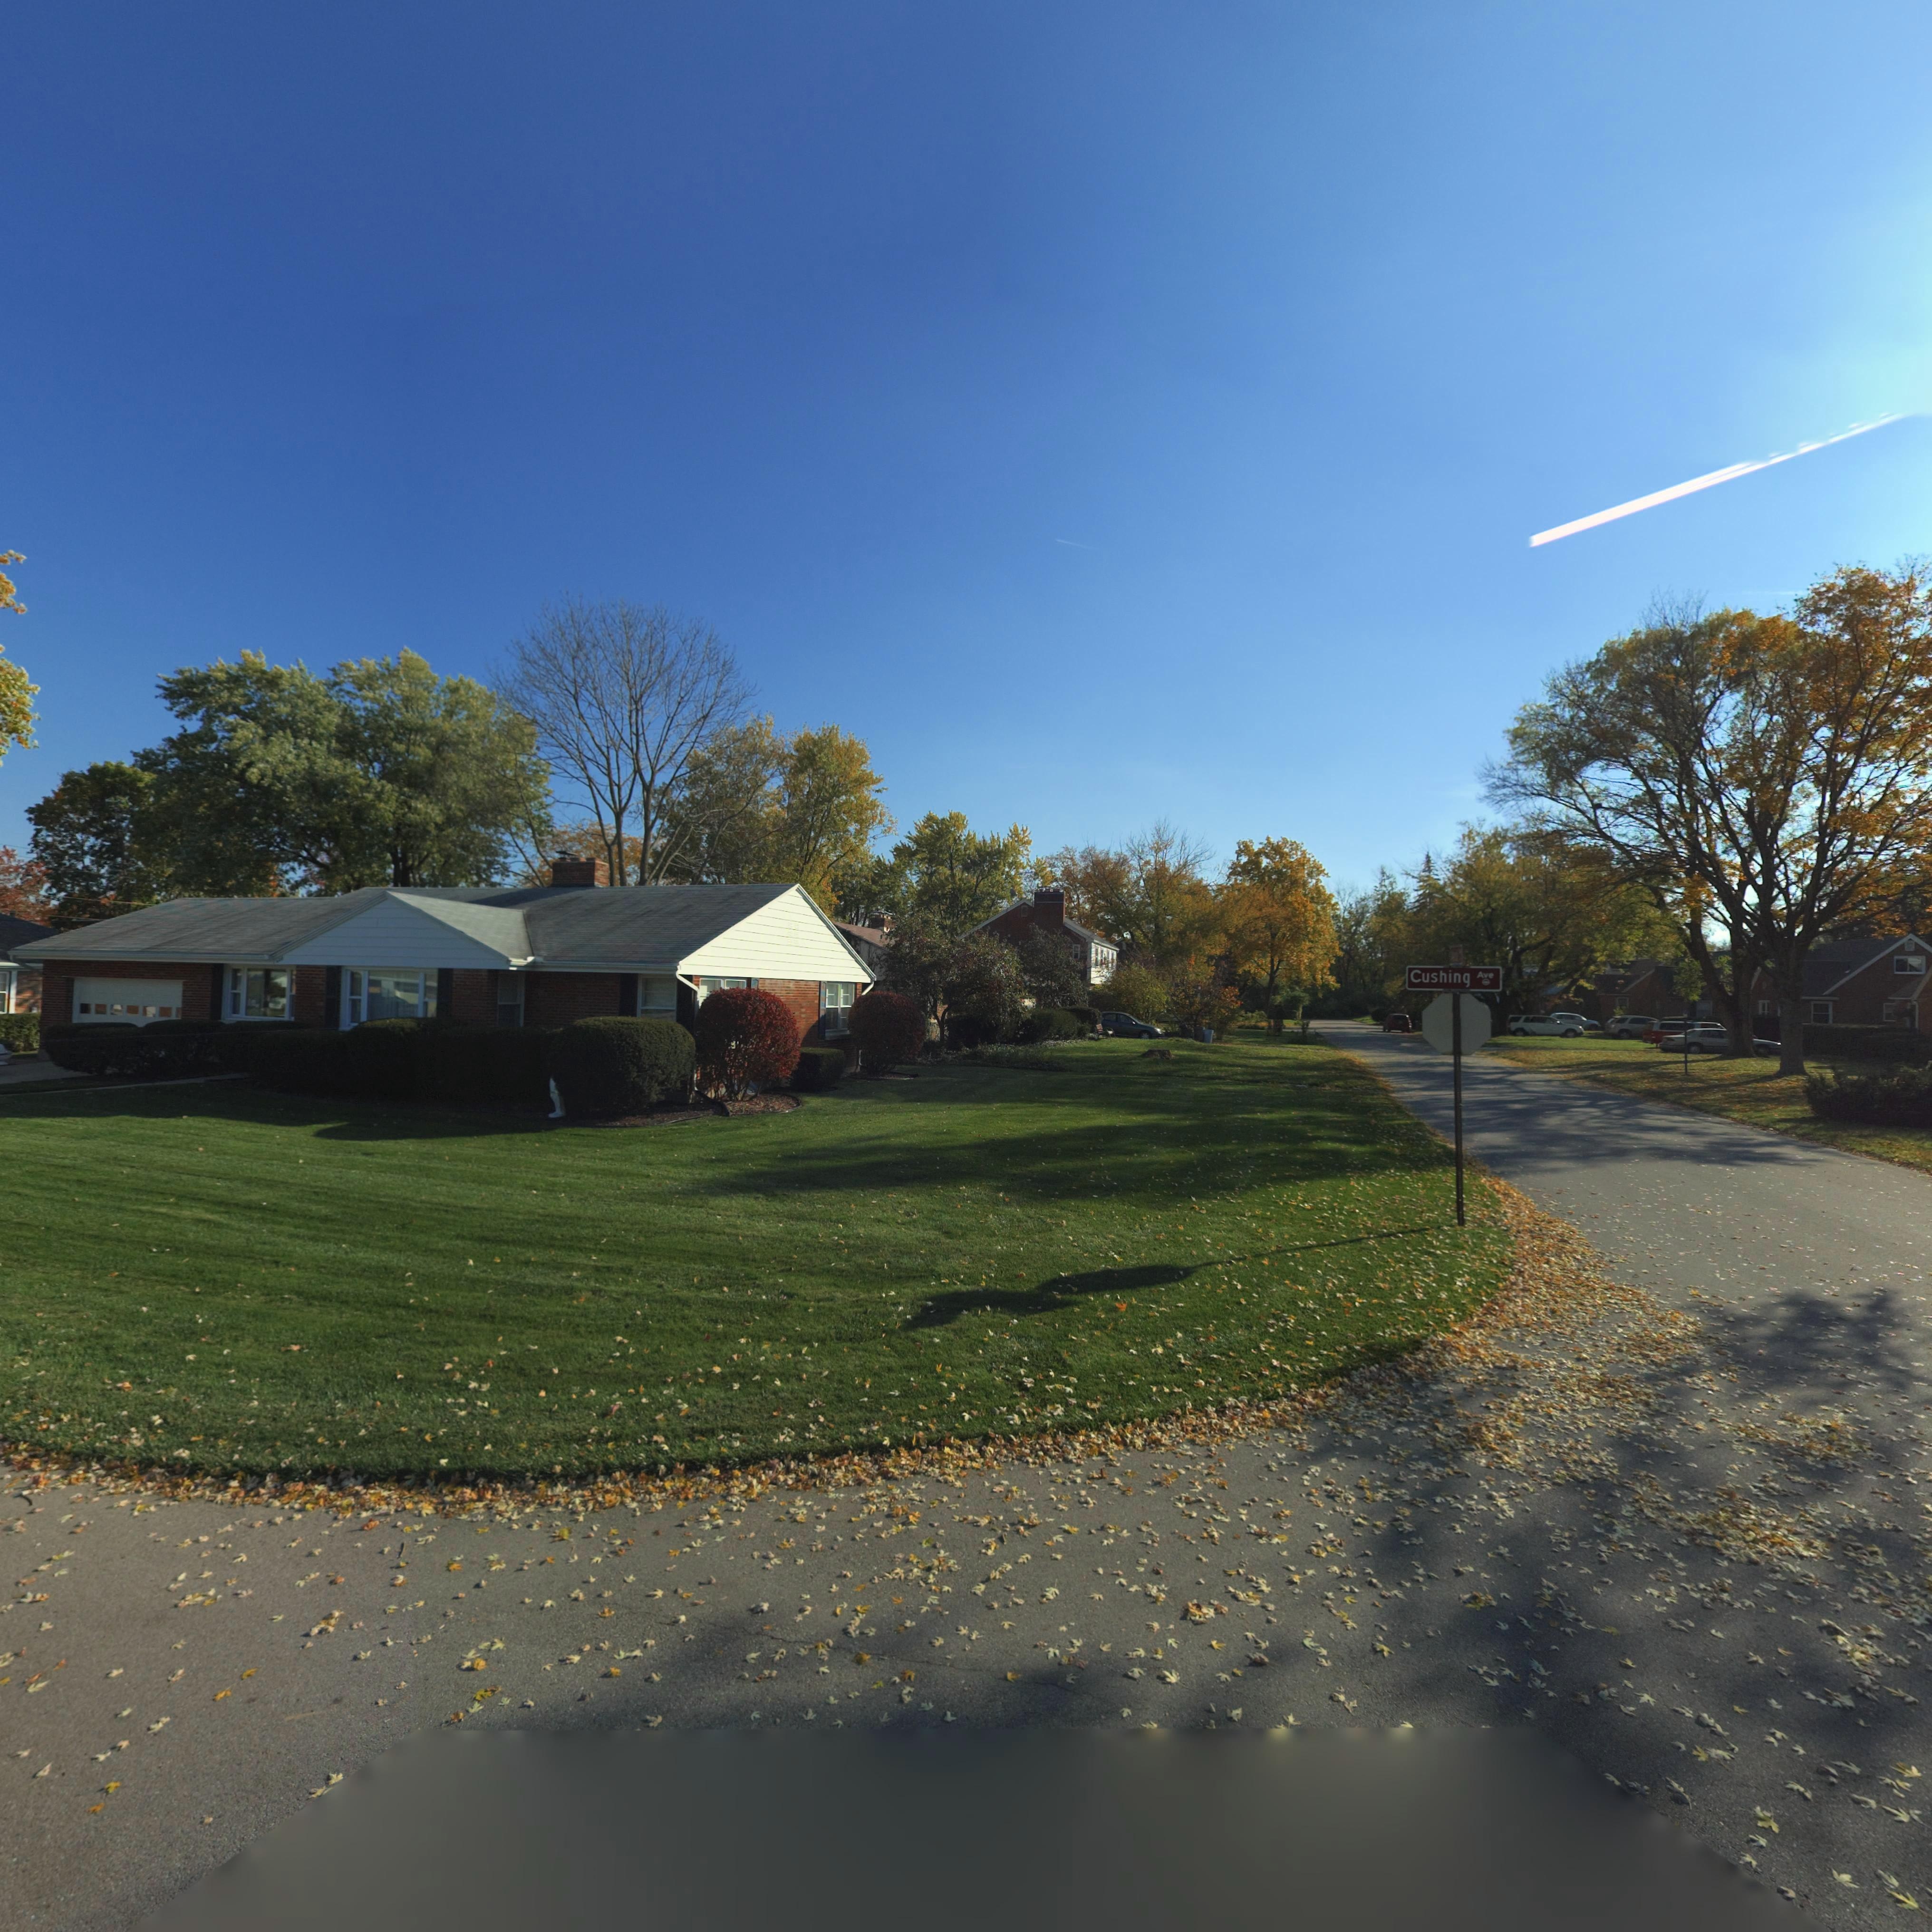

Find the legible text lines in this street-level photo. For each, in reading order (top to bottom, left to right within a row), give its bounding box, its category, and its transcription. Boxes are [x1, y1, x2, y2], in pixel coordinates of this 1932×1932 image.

[1410, 969, 1495, 988] StreetName: Cushing Ave